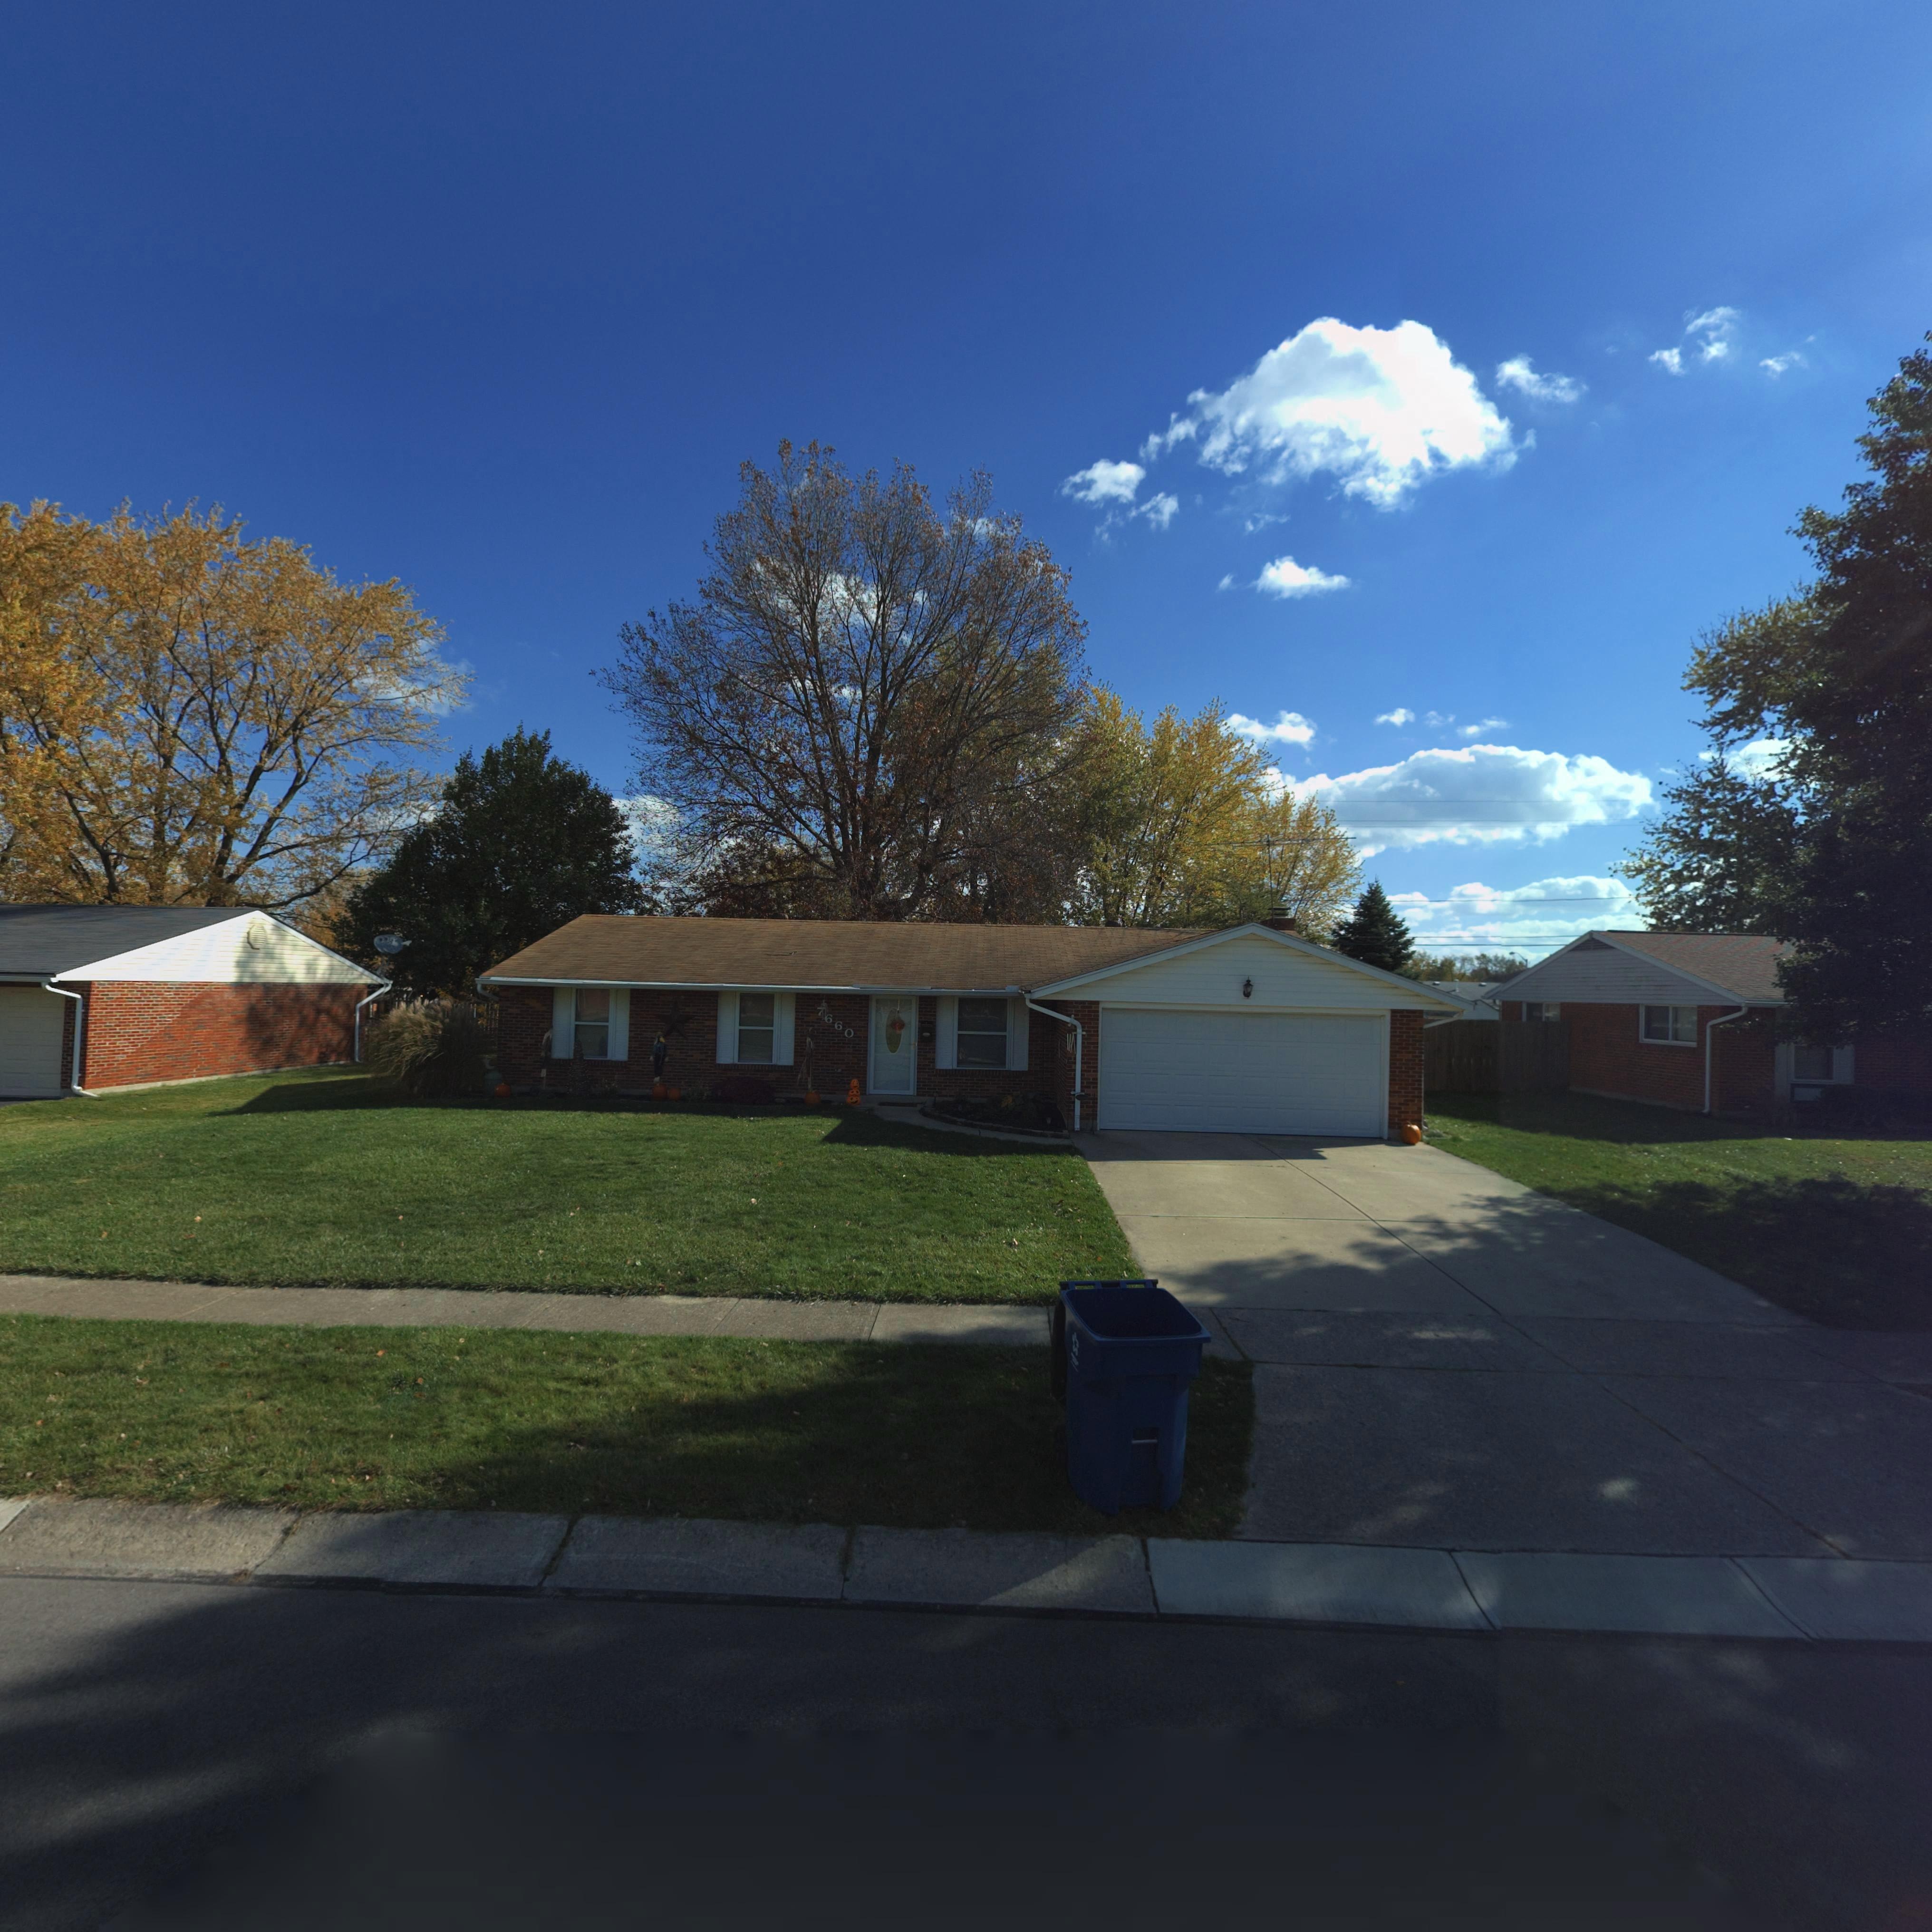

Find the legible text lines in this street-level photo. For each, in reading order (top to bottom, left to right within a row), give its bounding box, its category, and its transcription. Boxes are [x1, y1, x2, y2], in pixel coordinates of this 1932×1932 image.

[816, 1006, 856, 1040] StreetNumber: *660